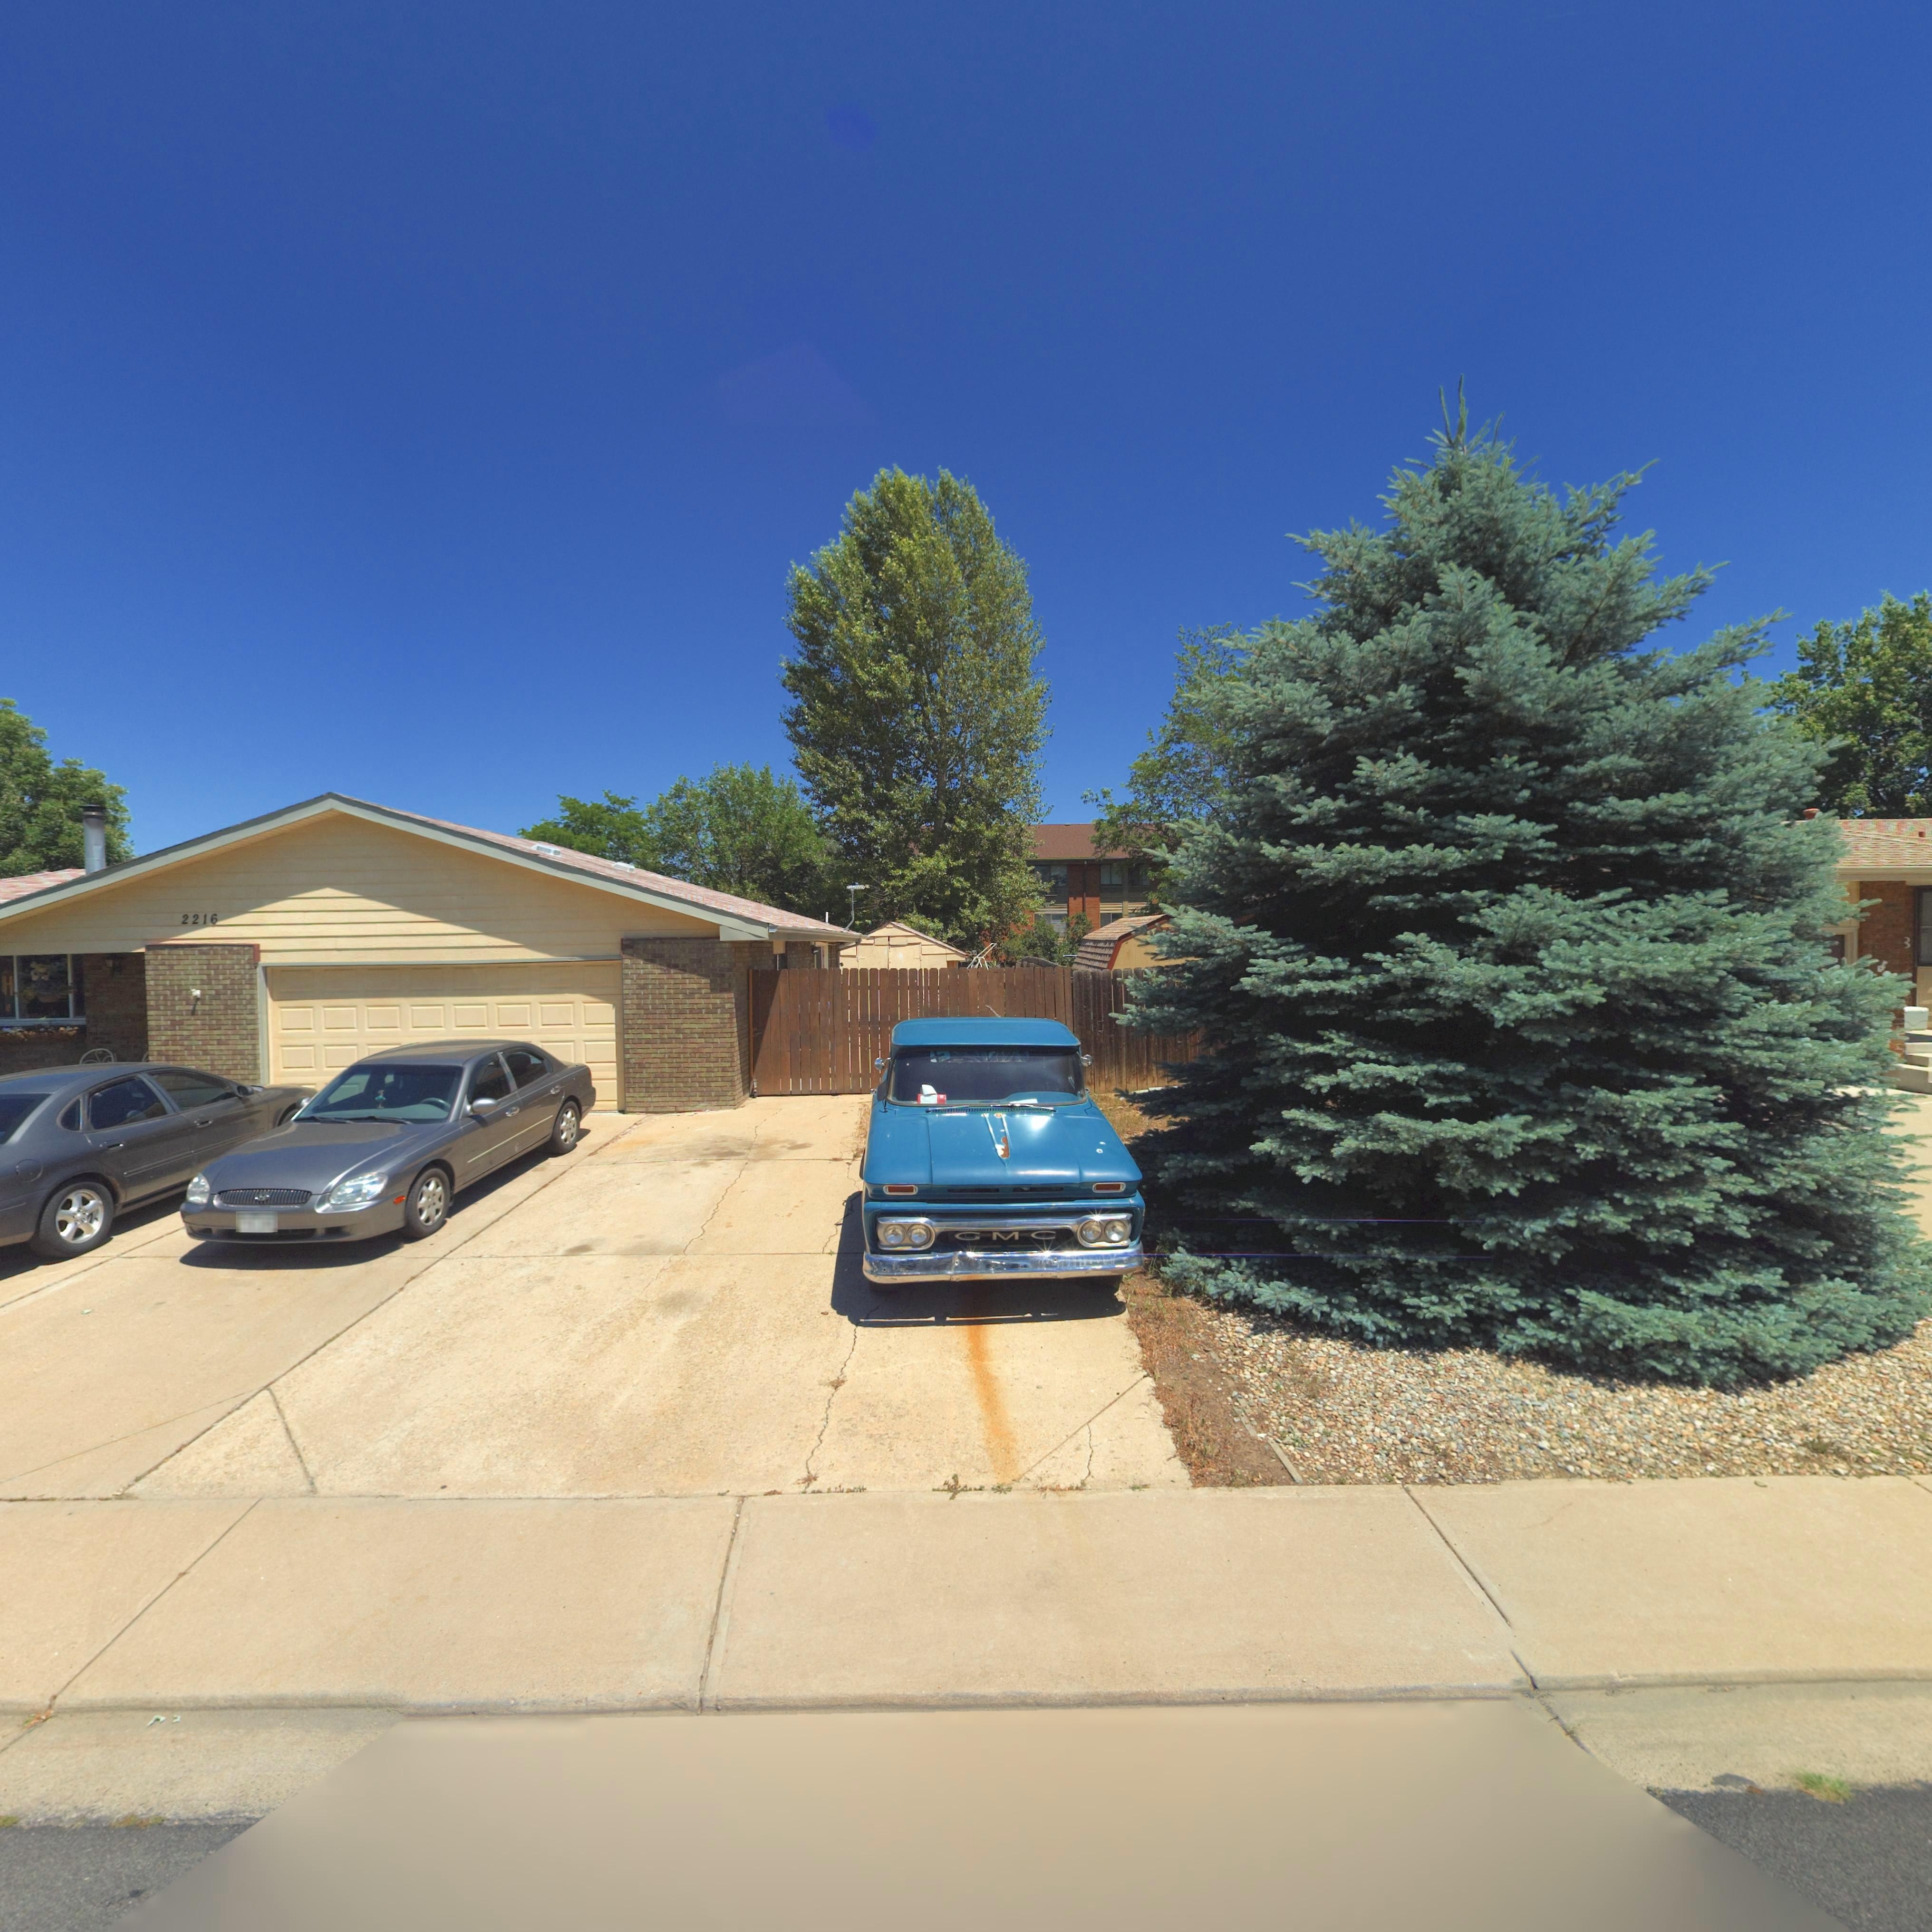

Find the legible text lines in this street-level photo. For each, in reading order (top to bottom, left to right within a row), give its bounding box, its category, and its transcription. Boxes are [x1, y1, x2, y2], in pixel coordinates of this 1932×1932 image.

[174, 911, 219, 924] StreetNumber: 2216